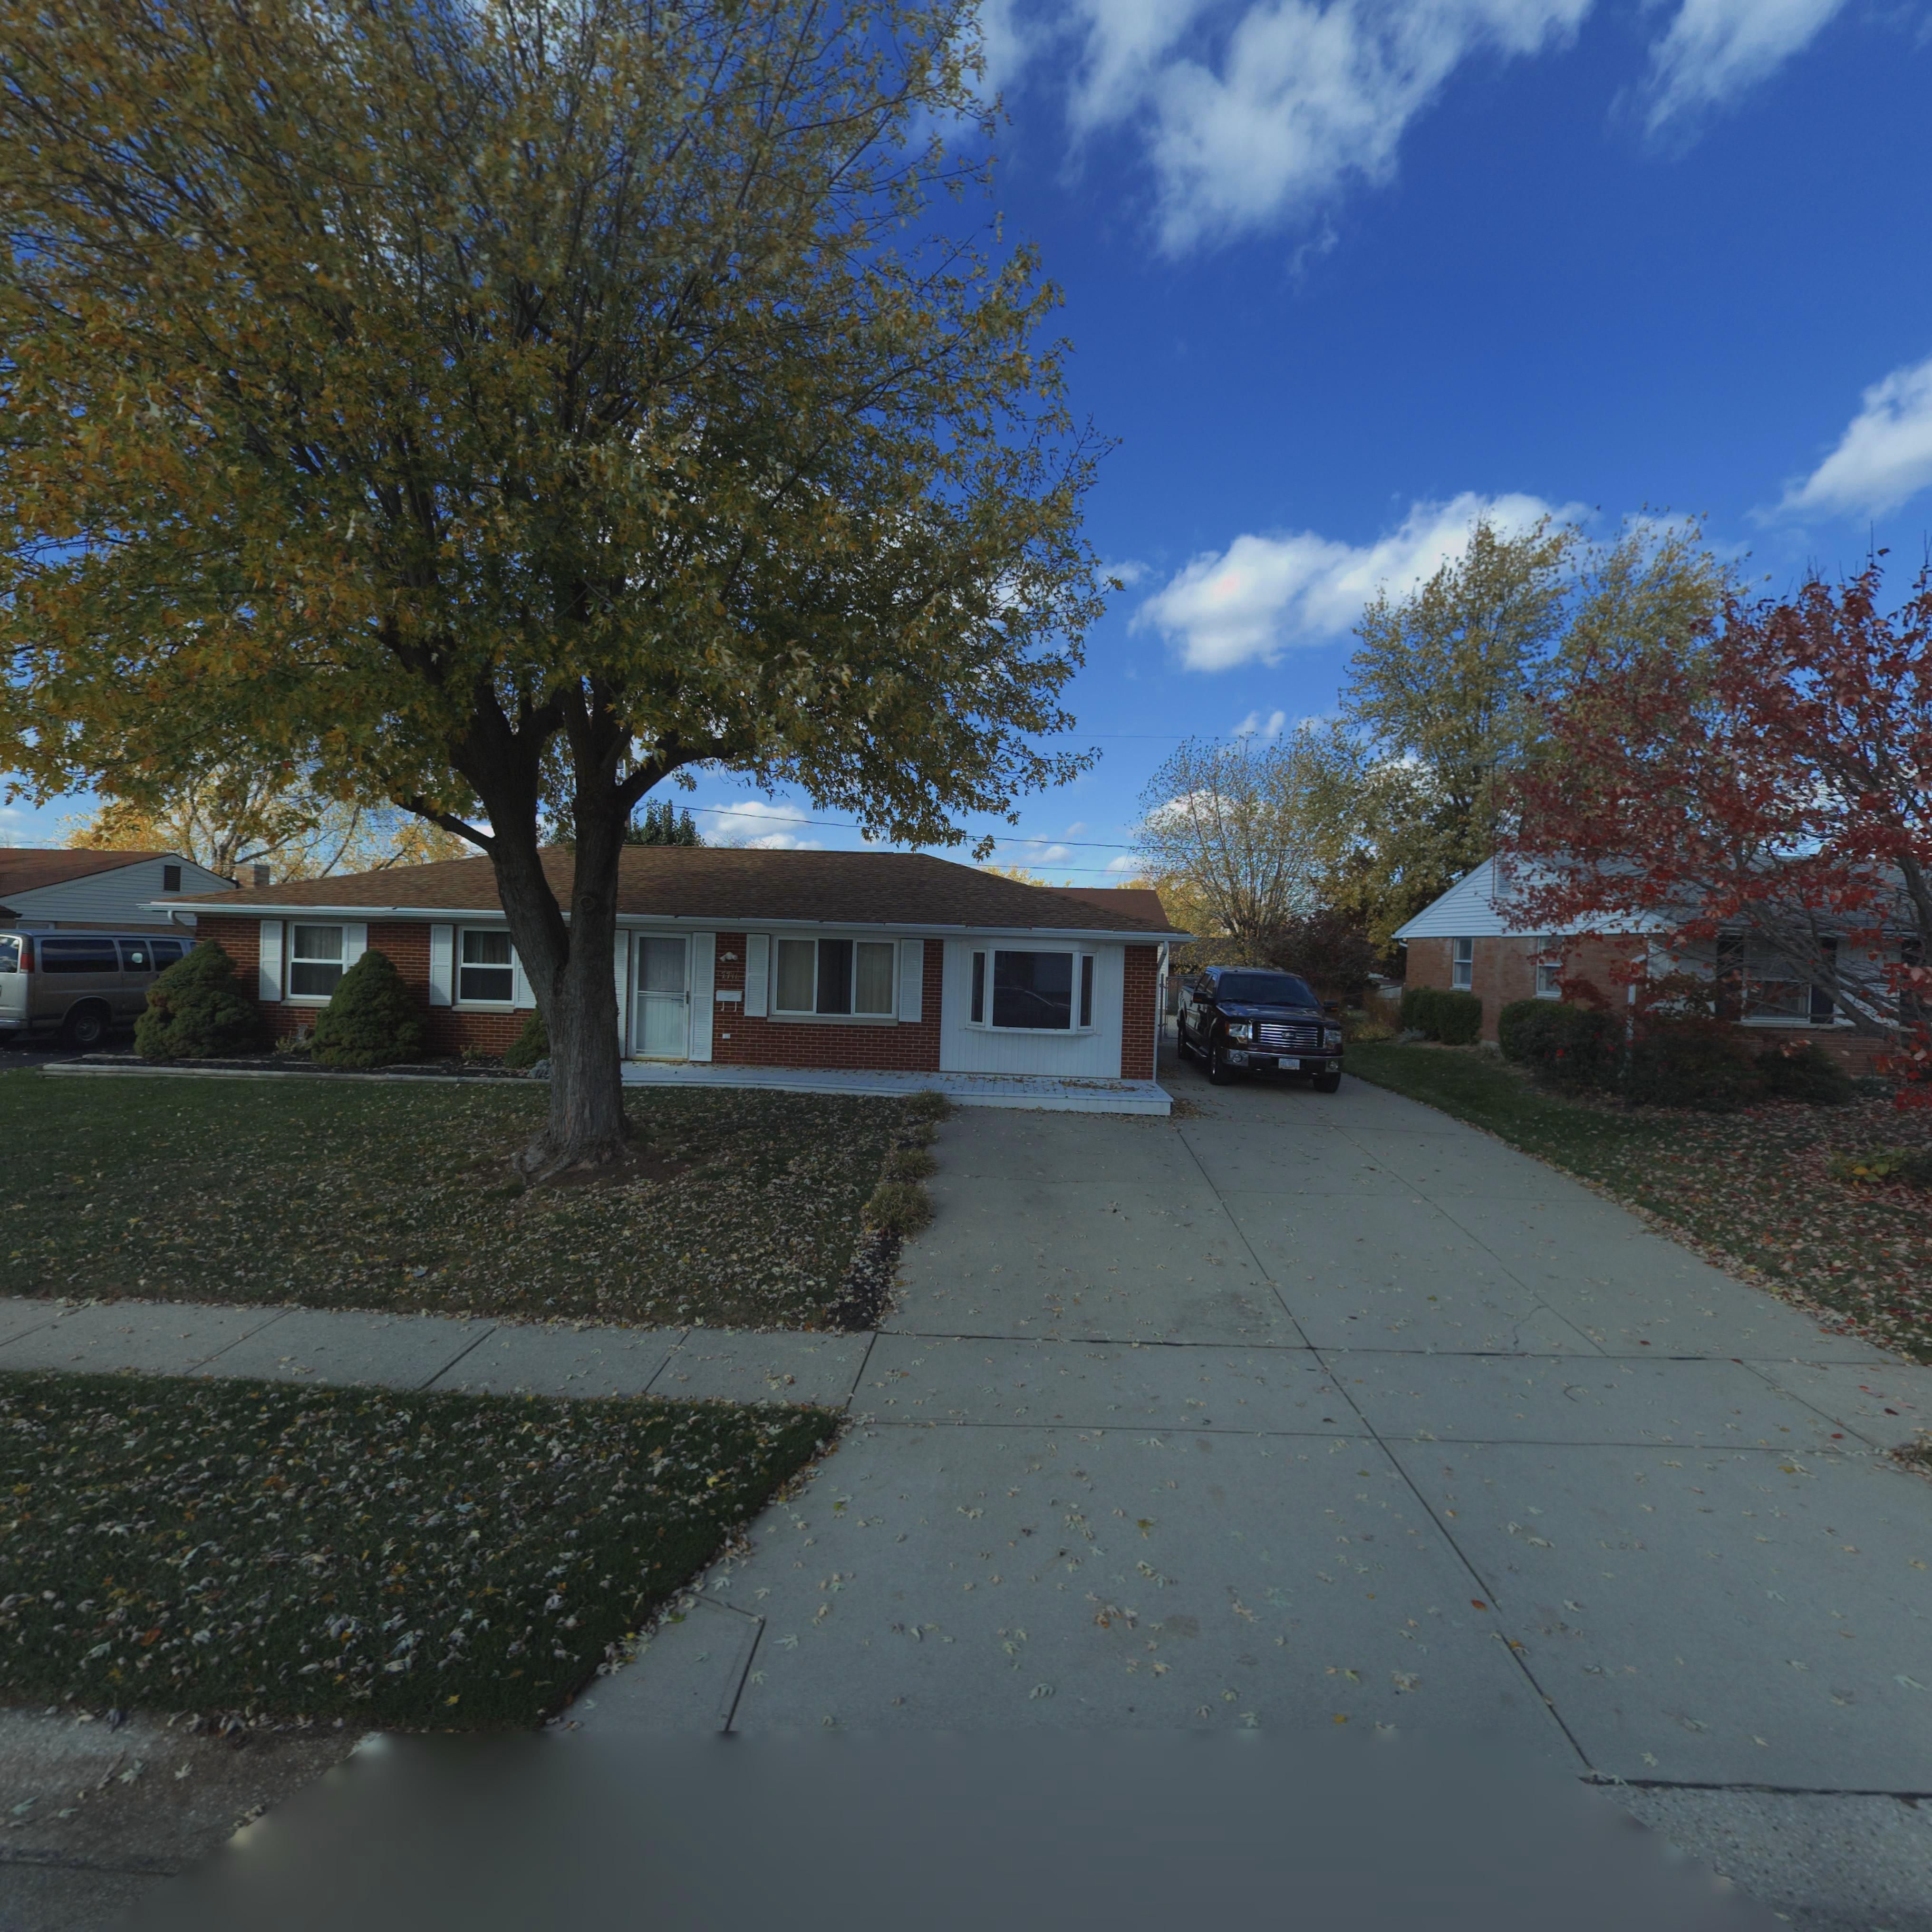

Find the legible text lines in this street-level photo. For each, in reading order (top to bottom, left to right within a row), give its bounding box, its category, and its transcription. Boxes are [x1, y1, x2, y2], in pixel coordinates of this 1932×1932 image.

[720, 970, 739, 980] StreetNumber: 7711